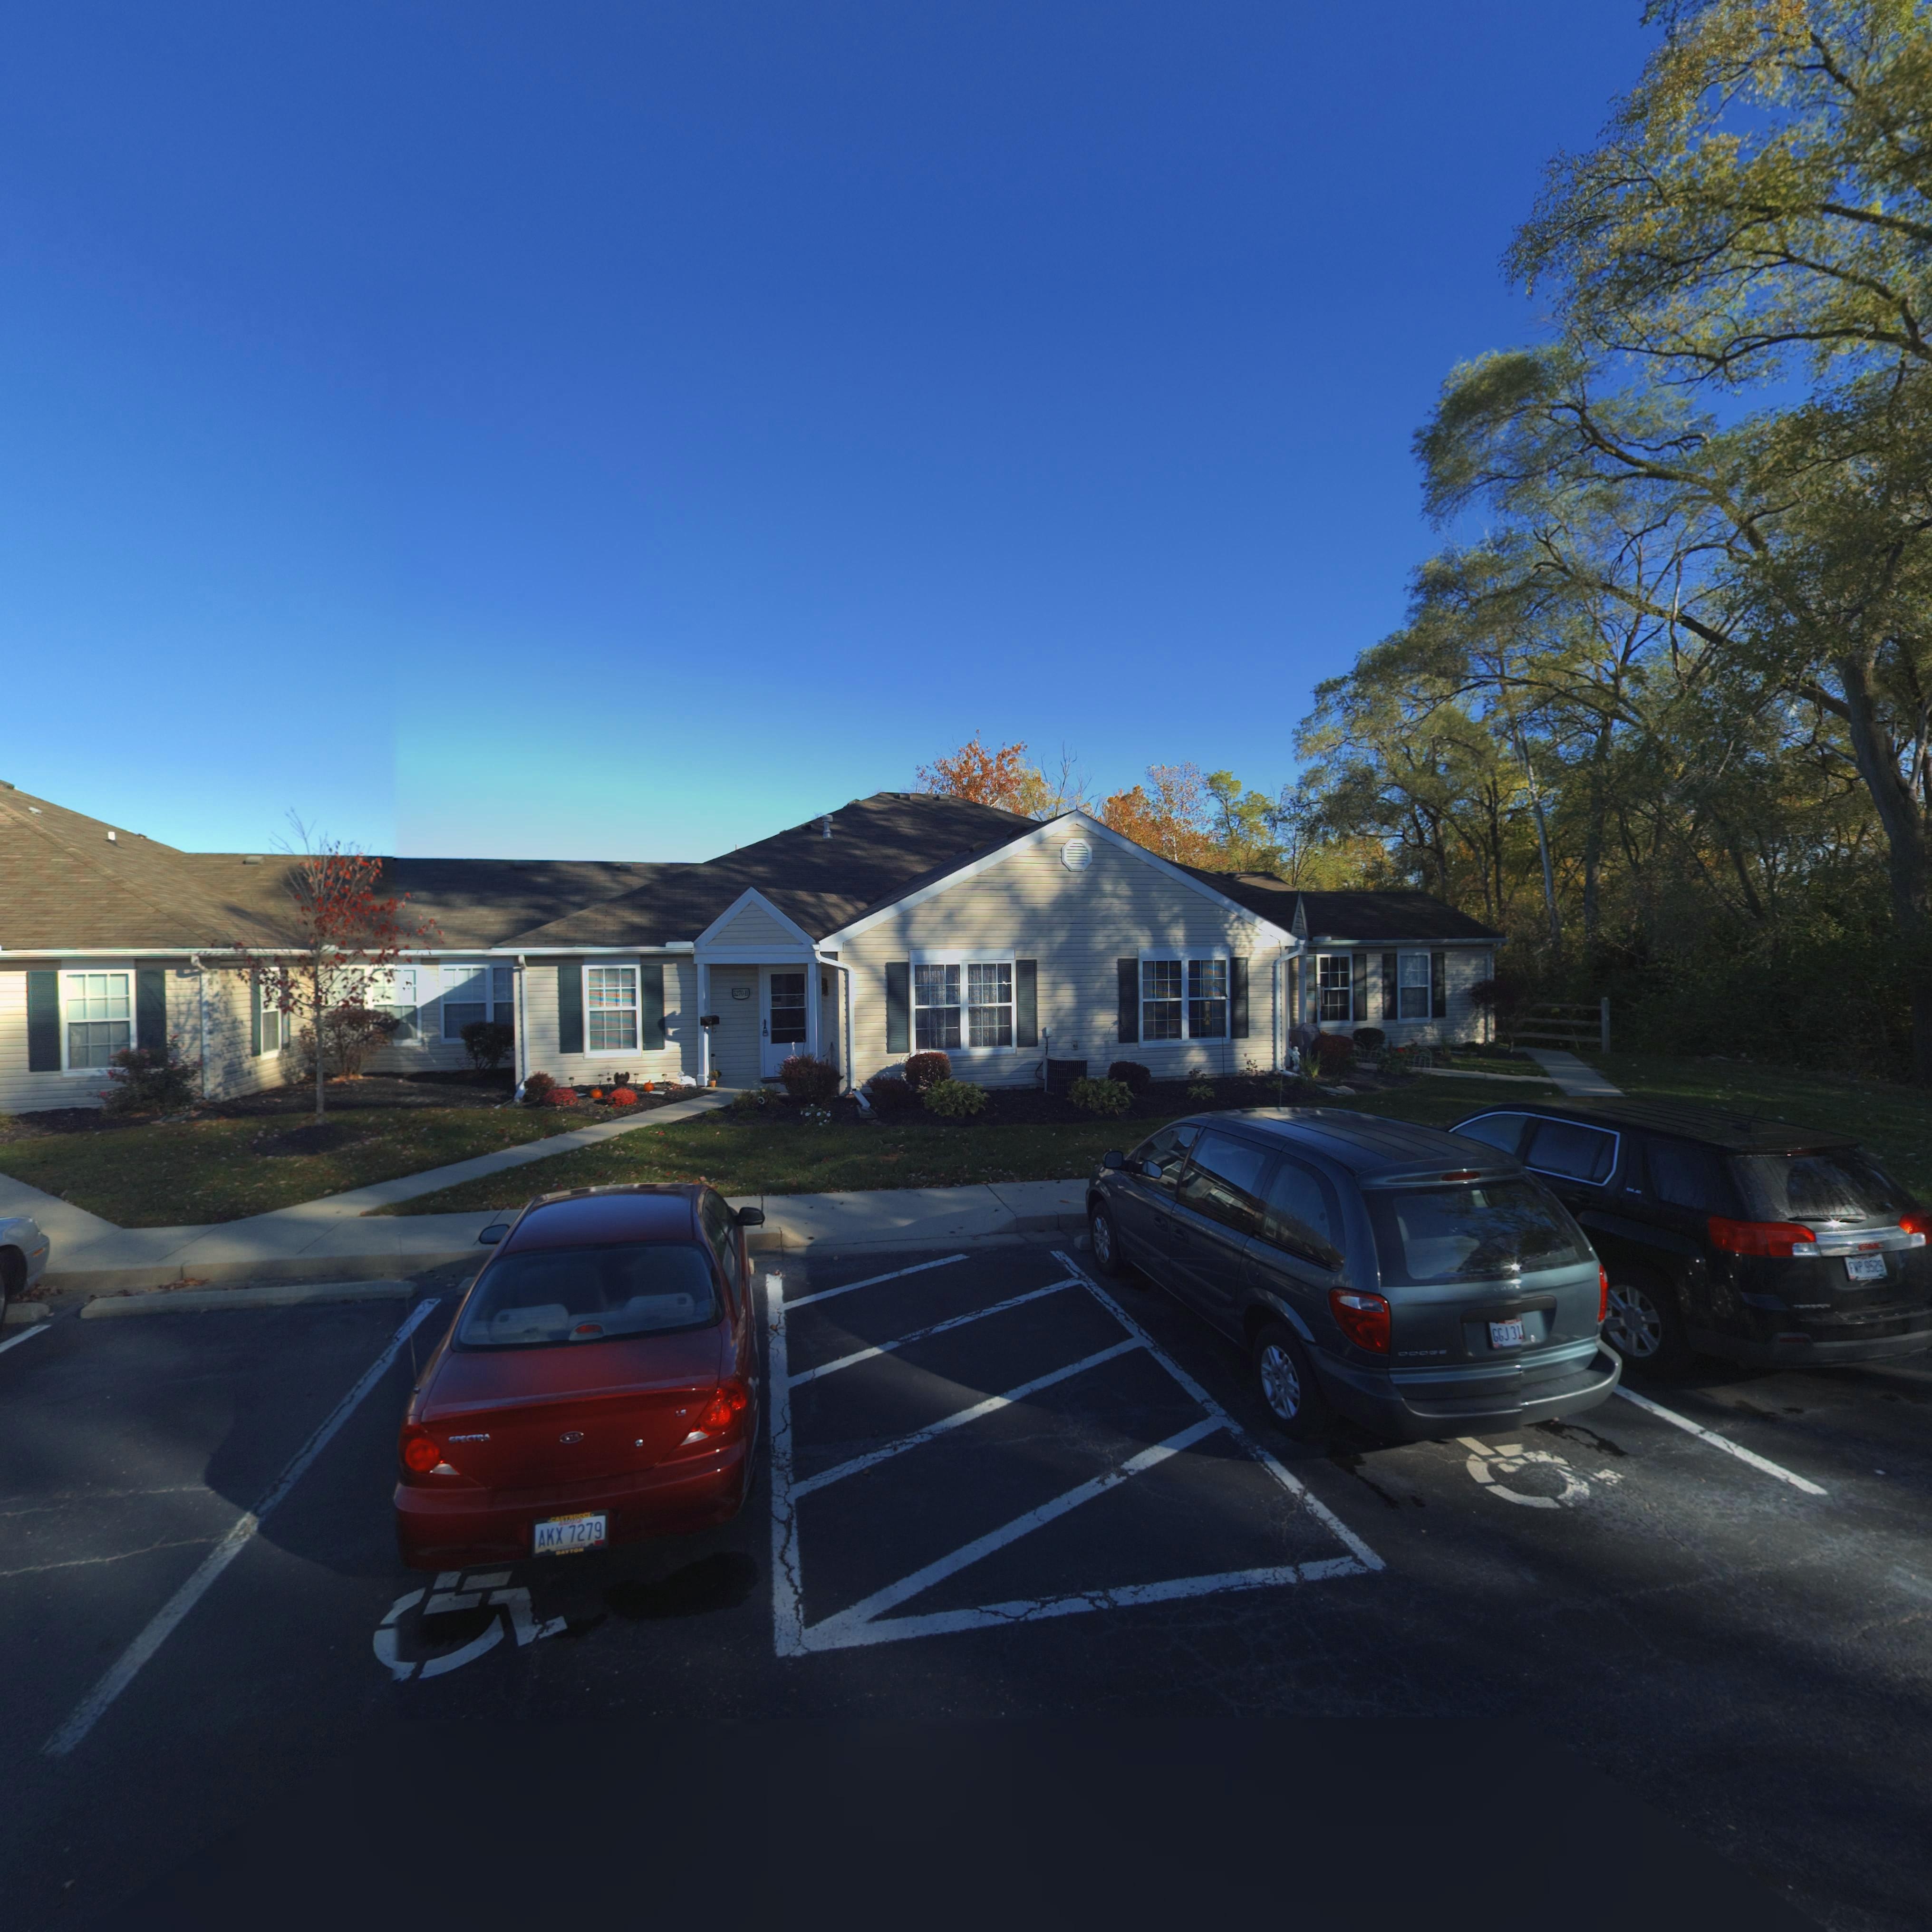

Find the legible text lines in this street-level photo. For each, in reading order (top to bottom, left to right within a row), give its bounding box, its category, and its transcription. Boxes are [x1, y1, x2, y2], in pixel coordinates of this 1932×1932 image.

[732, 989, 749, 997] StreetNumber: 5270-B